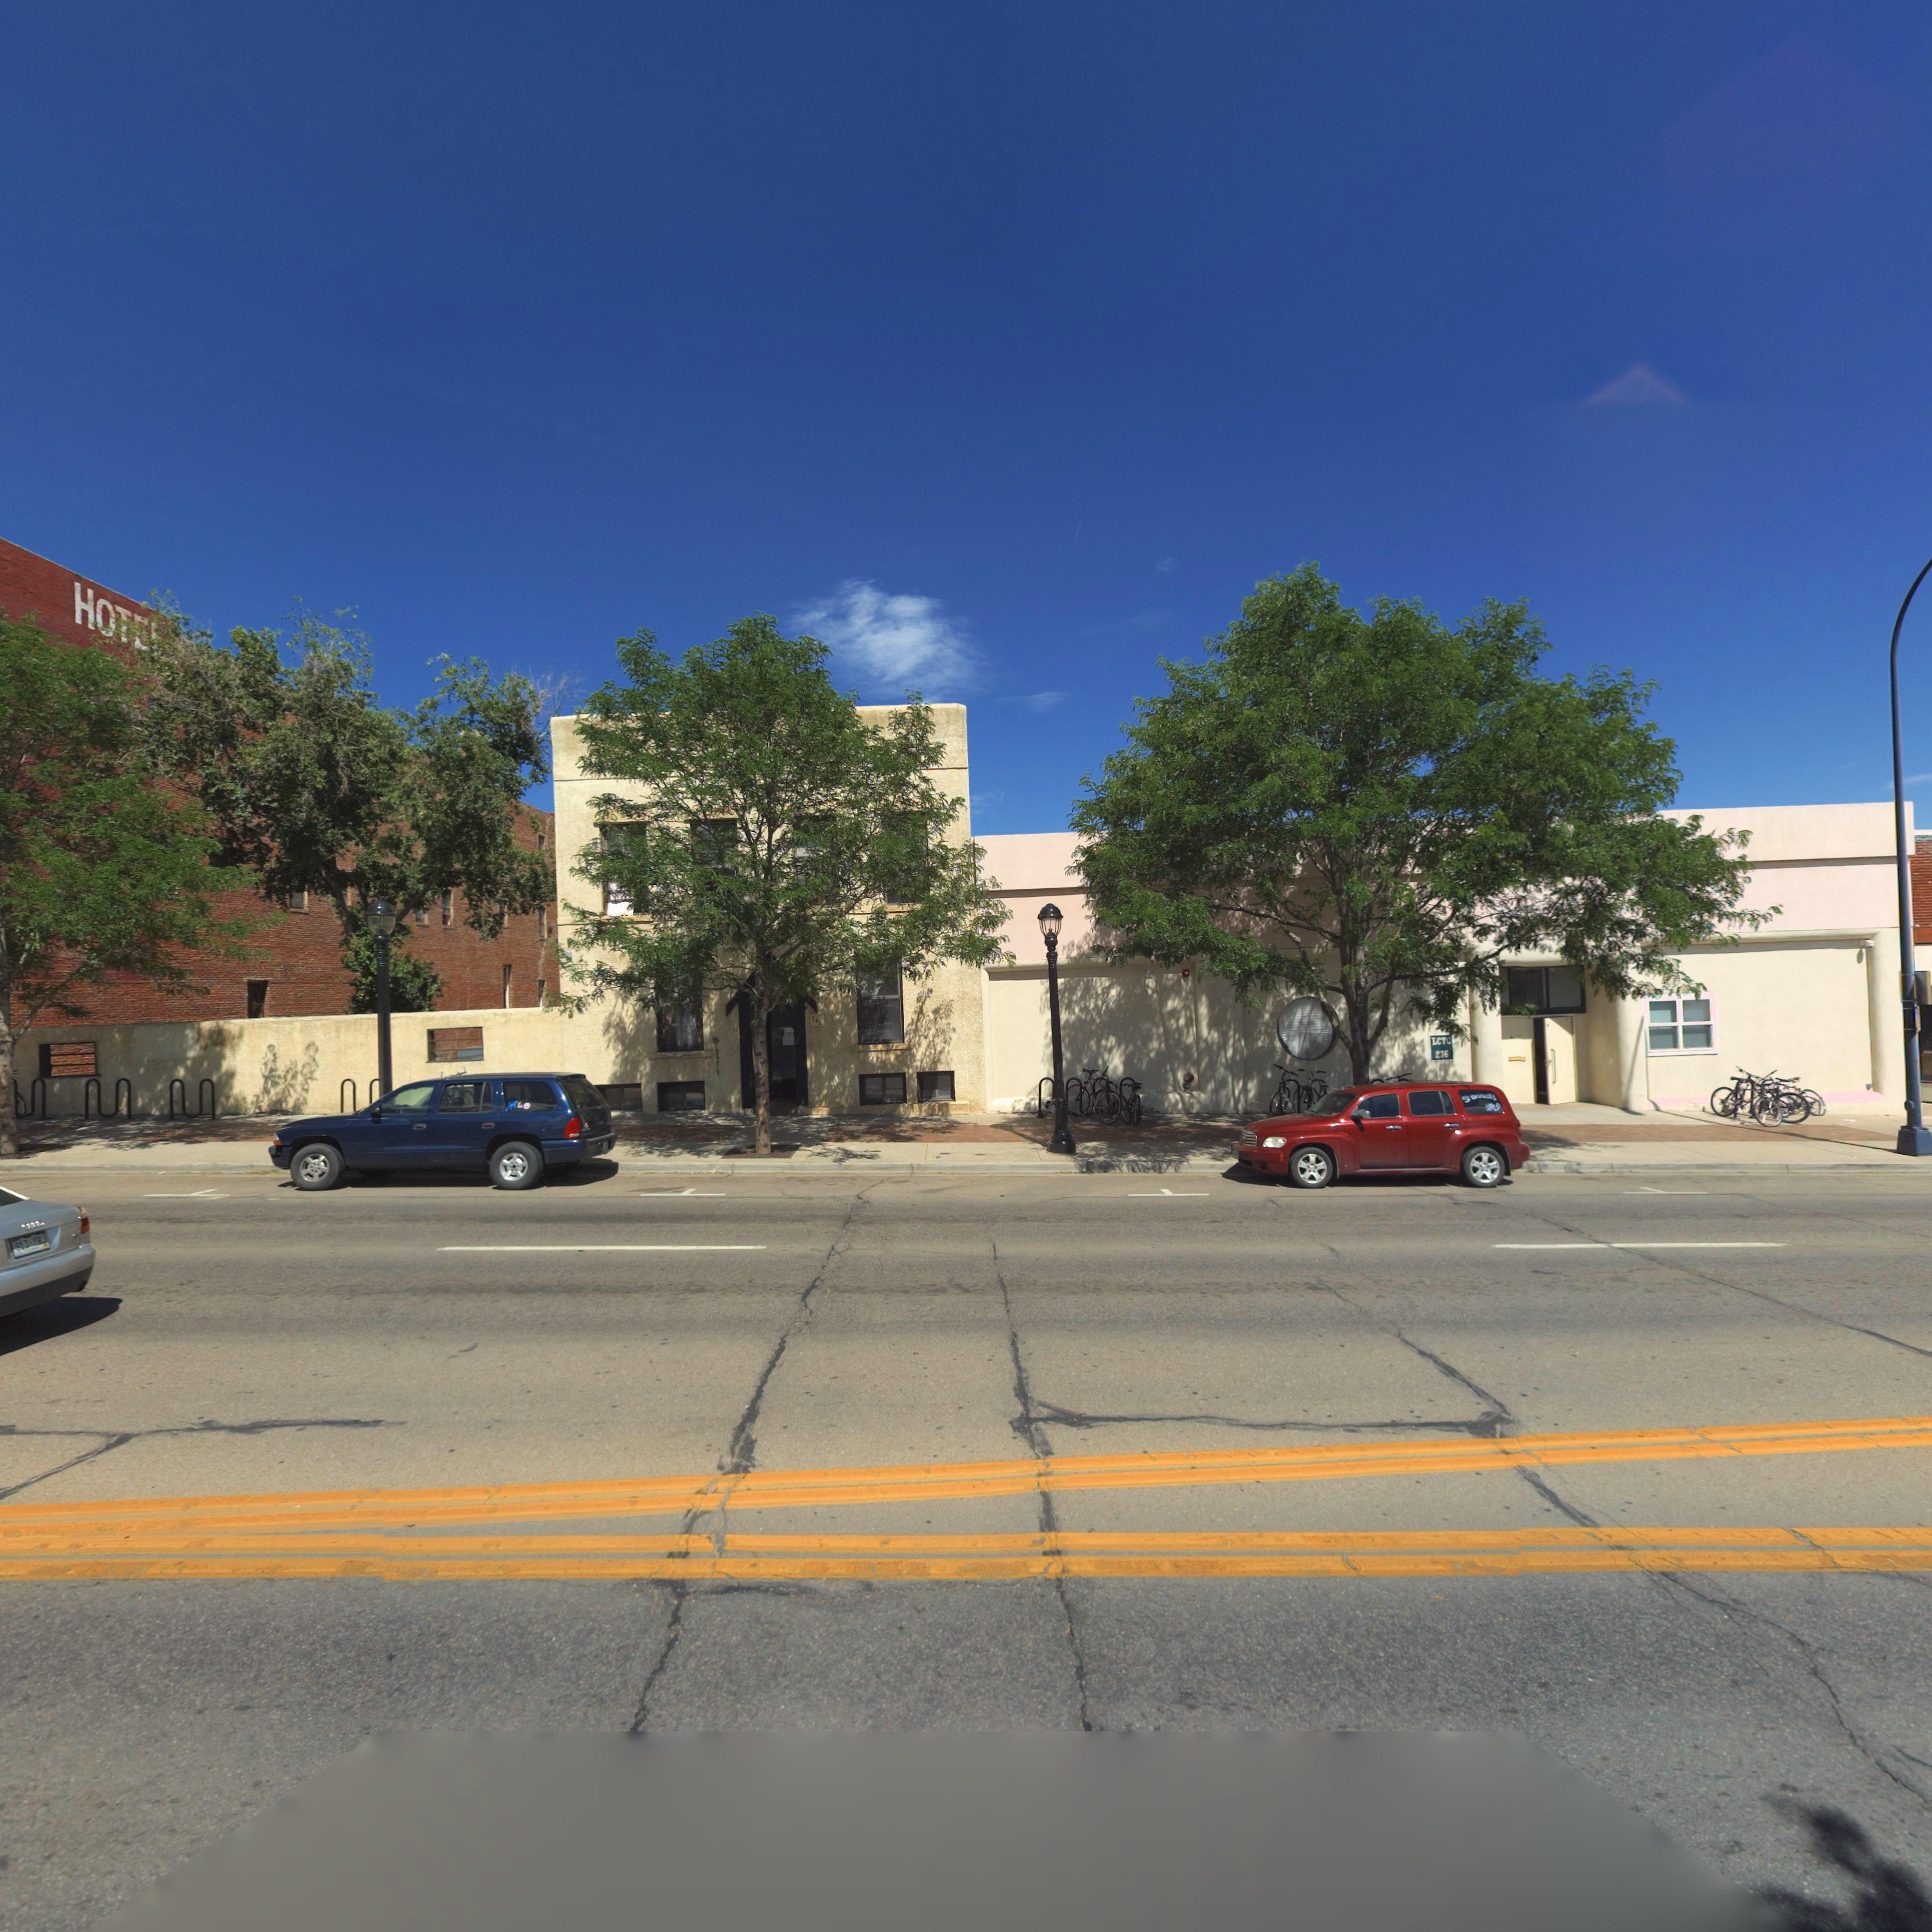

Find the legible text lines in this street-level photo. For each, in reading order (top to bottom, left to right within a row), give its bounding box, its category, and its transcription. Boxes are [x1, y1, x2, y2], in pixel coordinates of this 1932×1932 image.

[811, 1015, 822, 1025] StreetNumber: 240
[1434, 1049, 1449, 1058] StreetNumber: 236